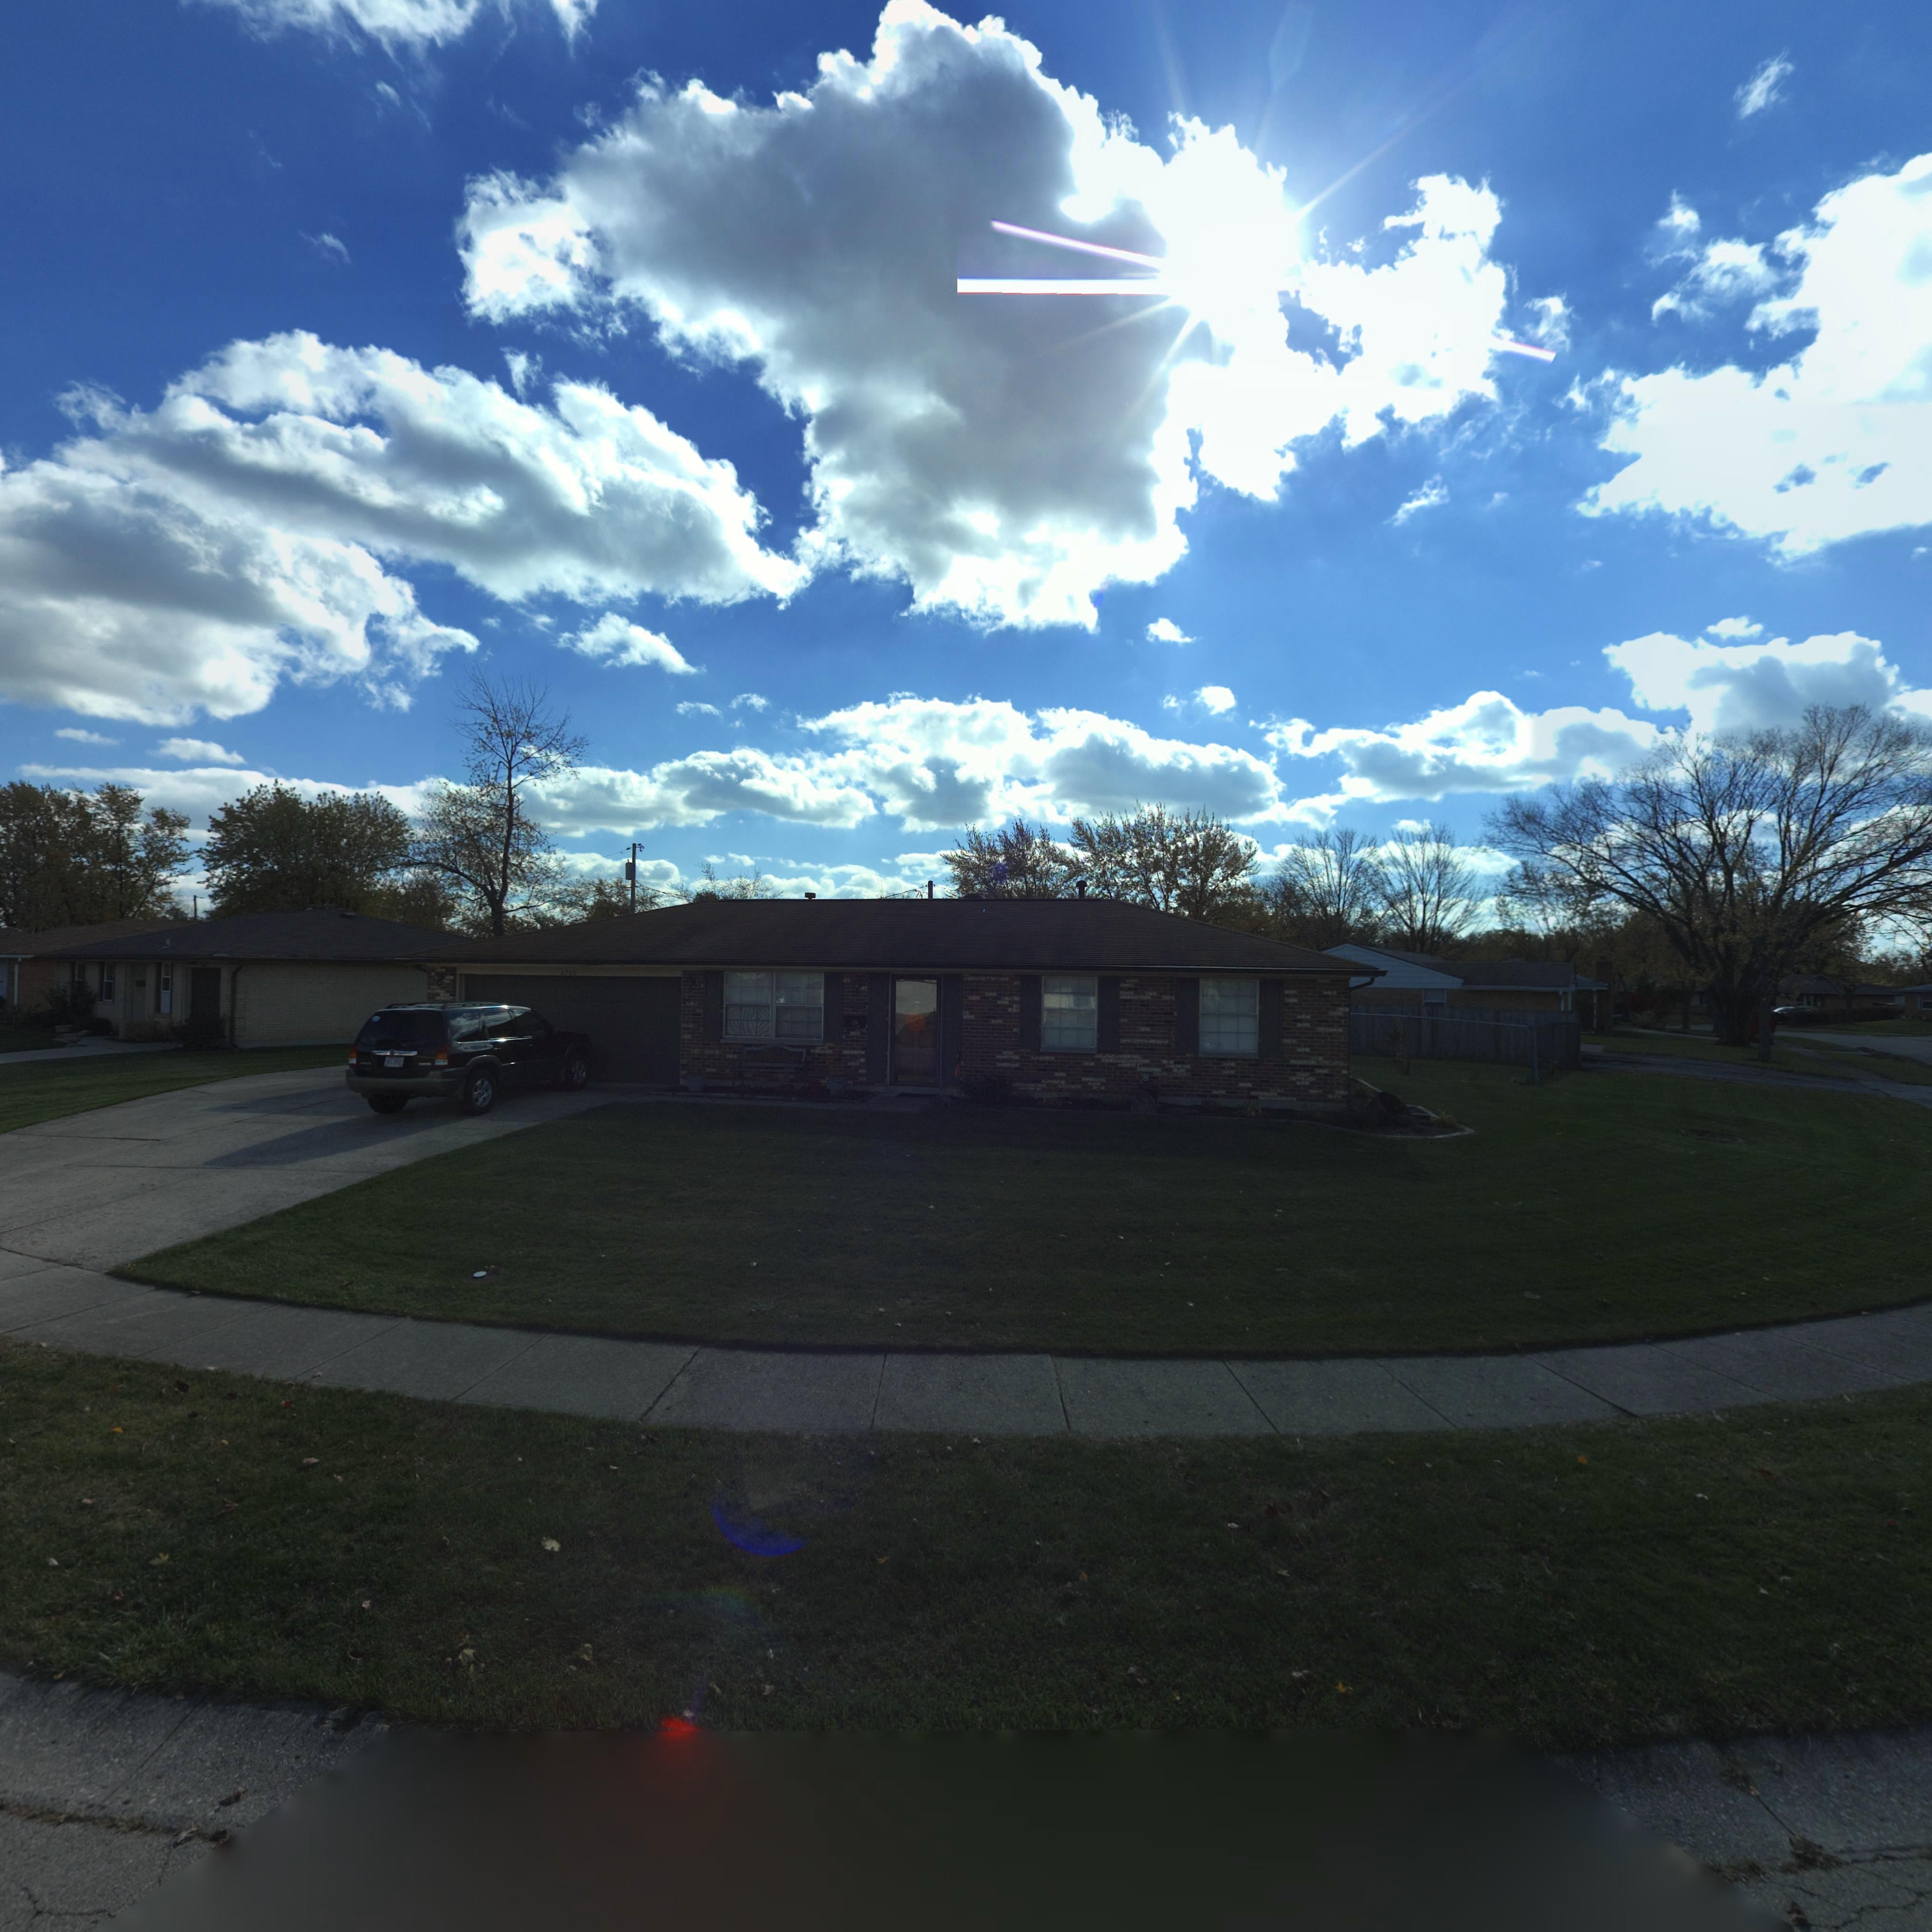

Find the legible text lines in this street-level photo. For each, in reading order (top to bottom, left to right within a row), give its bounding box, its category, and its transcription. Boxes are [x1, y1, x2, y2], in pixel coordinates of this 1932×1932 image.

[560, 969, 577, 976] StreetNumber: 6700